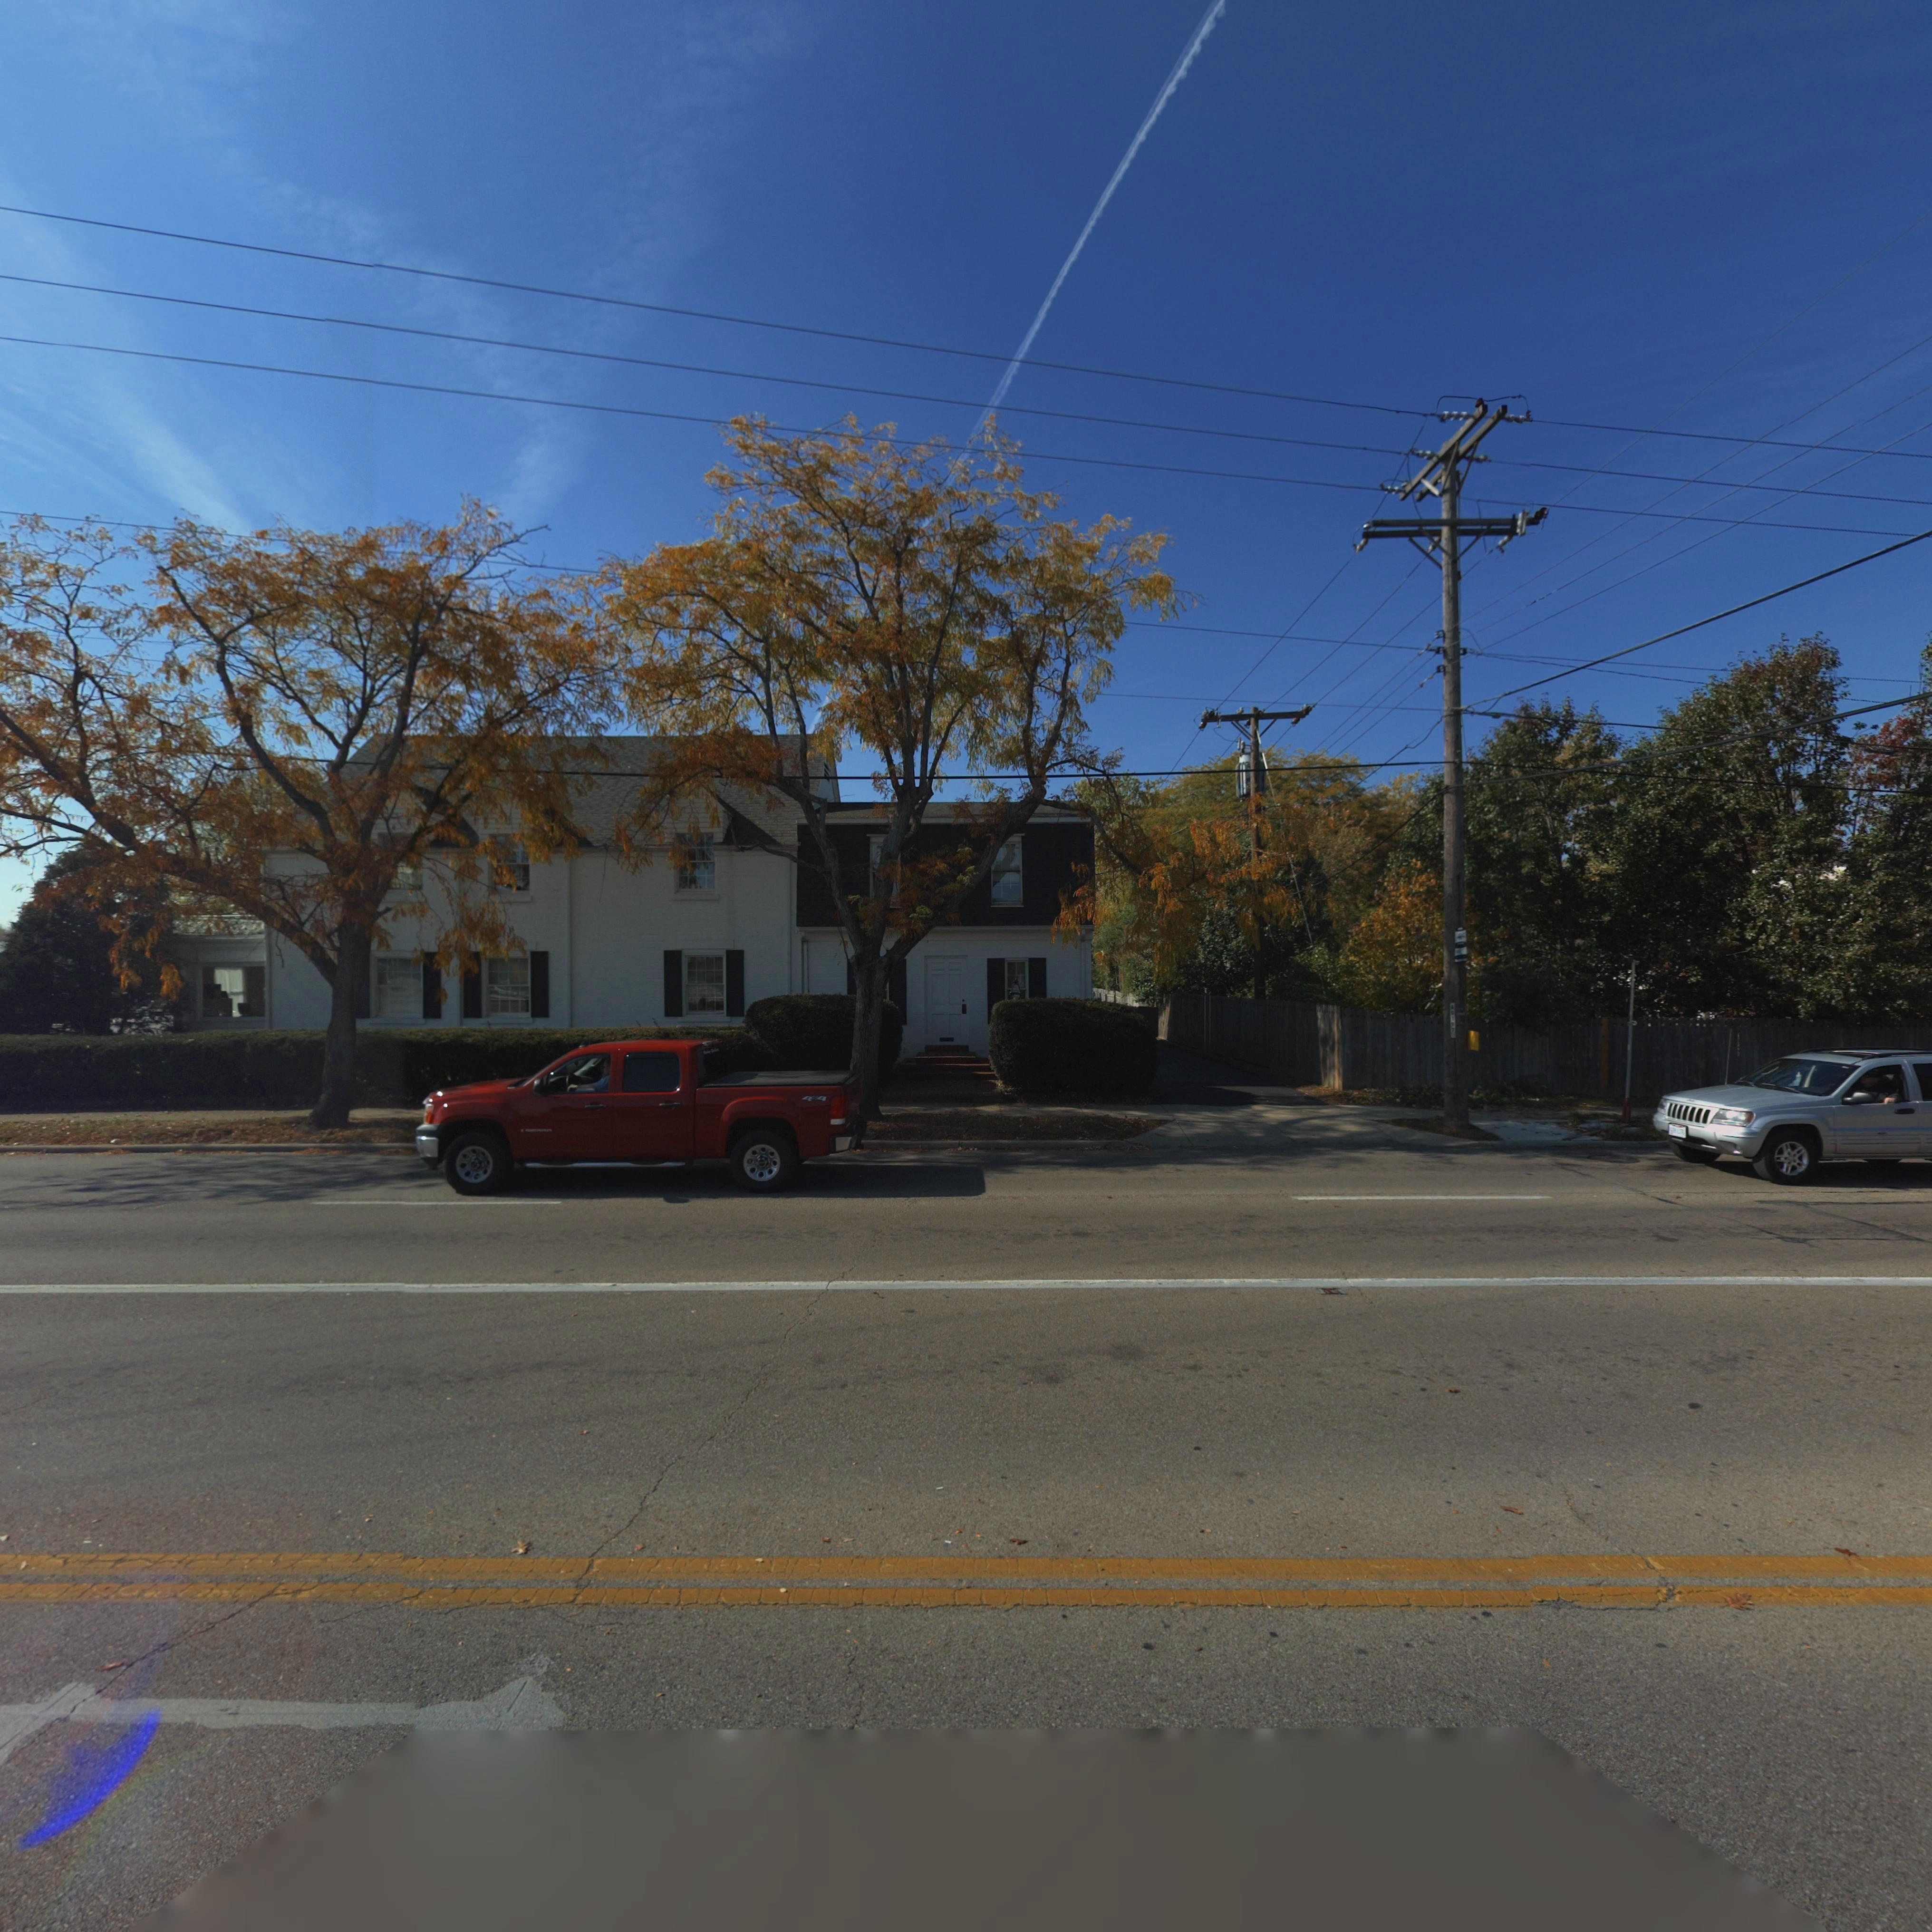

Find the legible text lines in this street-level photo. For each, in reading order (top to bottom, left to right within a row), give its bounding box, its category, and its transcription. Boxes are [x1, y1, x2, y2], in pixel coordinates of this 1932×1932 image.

[1450, 1005, 1455, 1033] None: A6197
[802, 1095, 827, 1101] None: 4x4